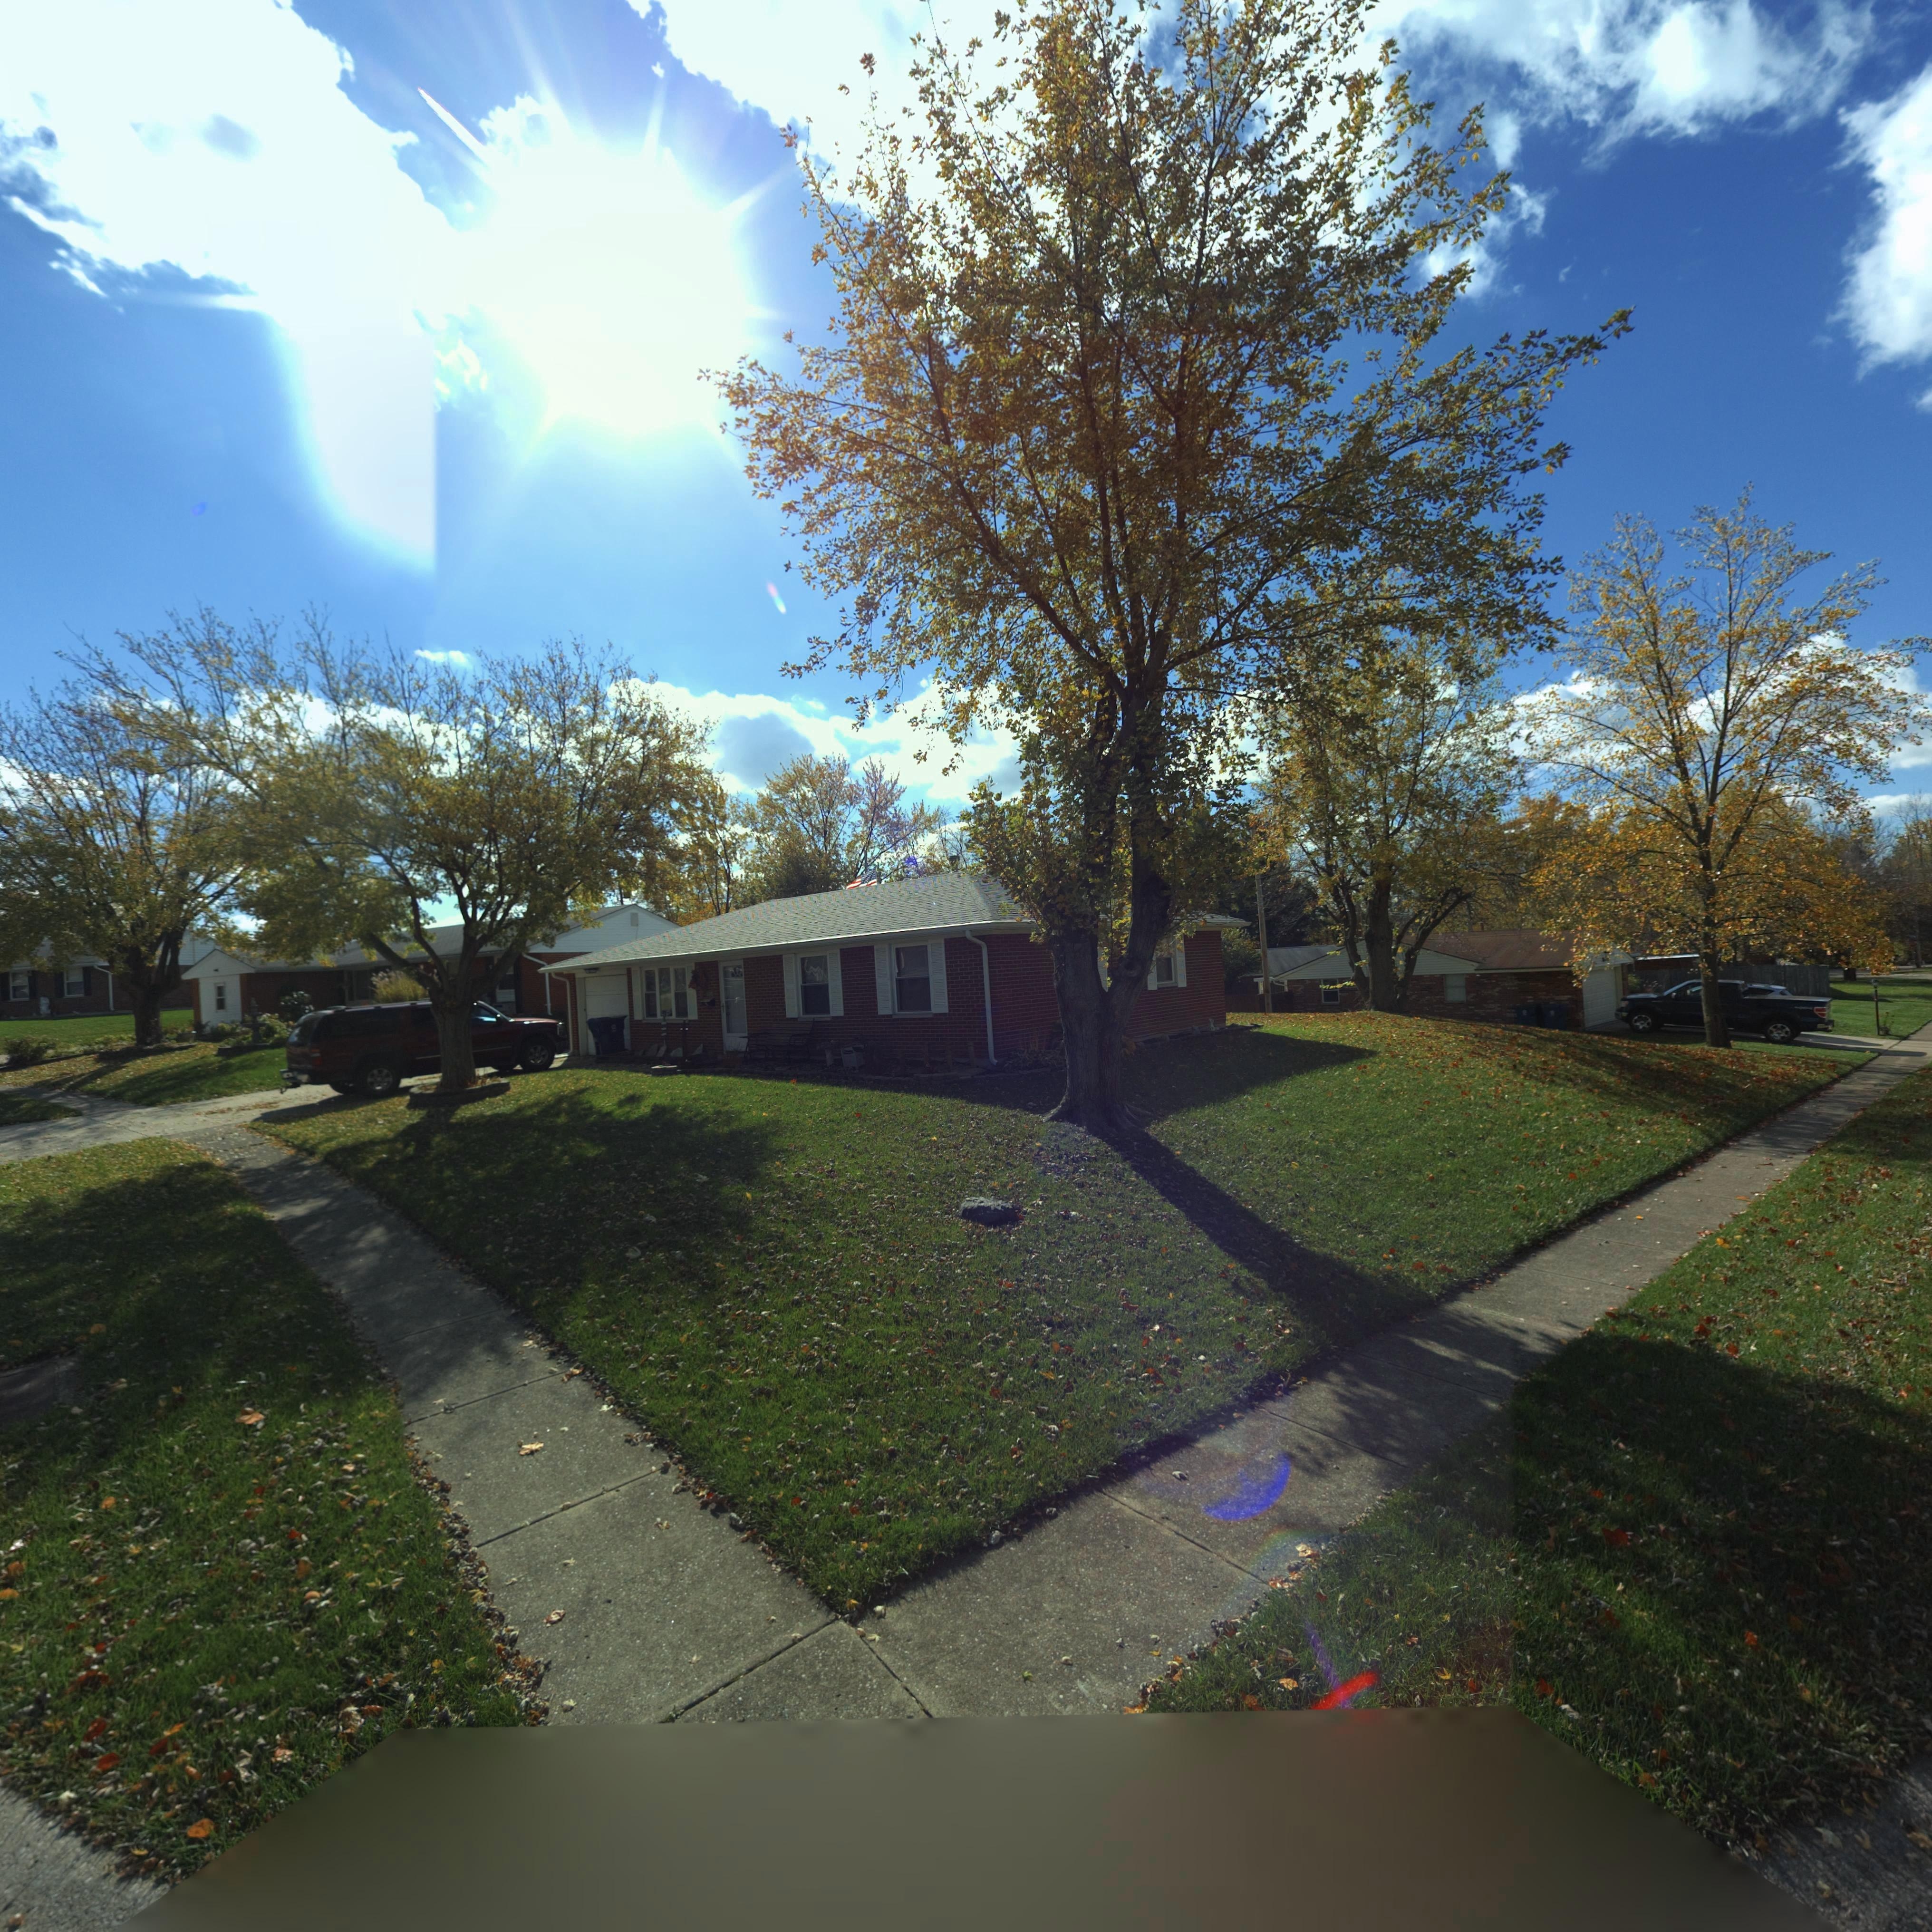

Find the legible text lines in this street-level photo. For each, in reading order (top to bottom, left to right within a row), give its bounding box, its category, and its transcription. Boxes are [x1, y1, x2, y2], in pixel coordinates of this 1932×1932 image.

[710, 992, 714, 996] StreetNumber: 6